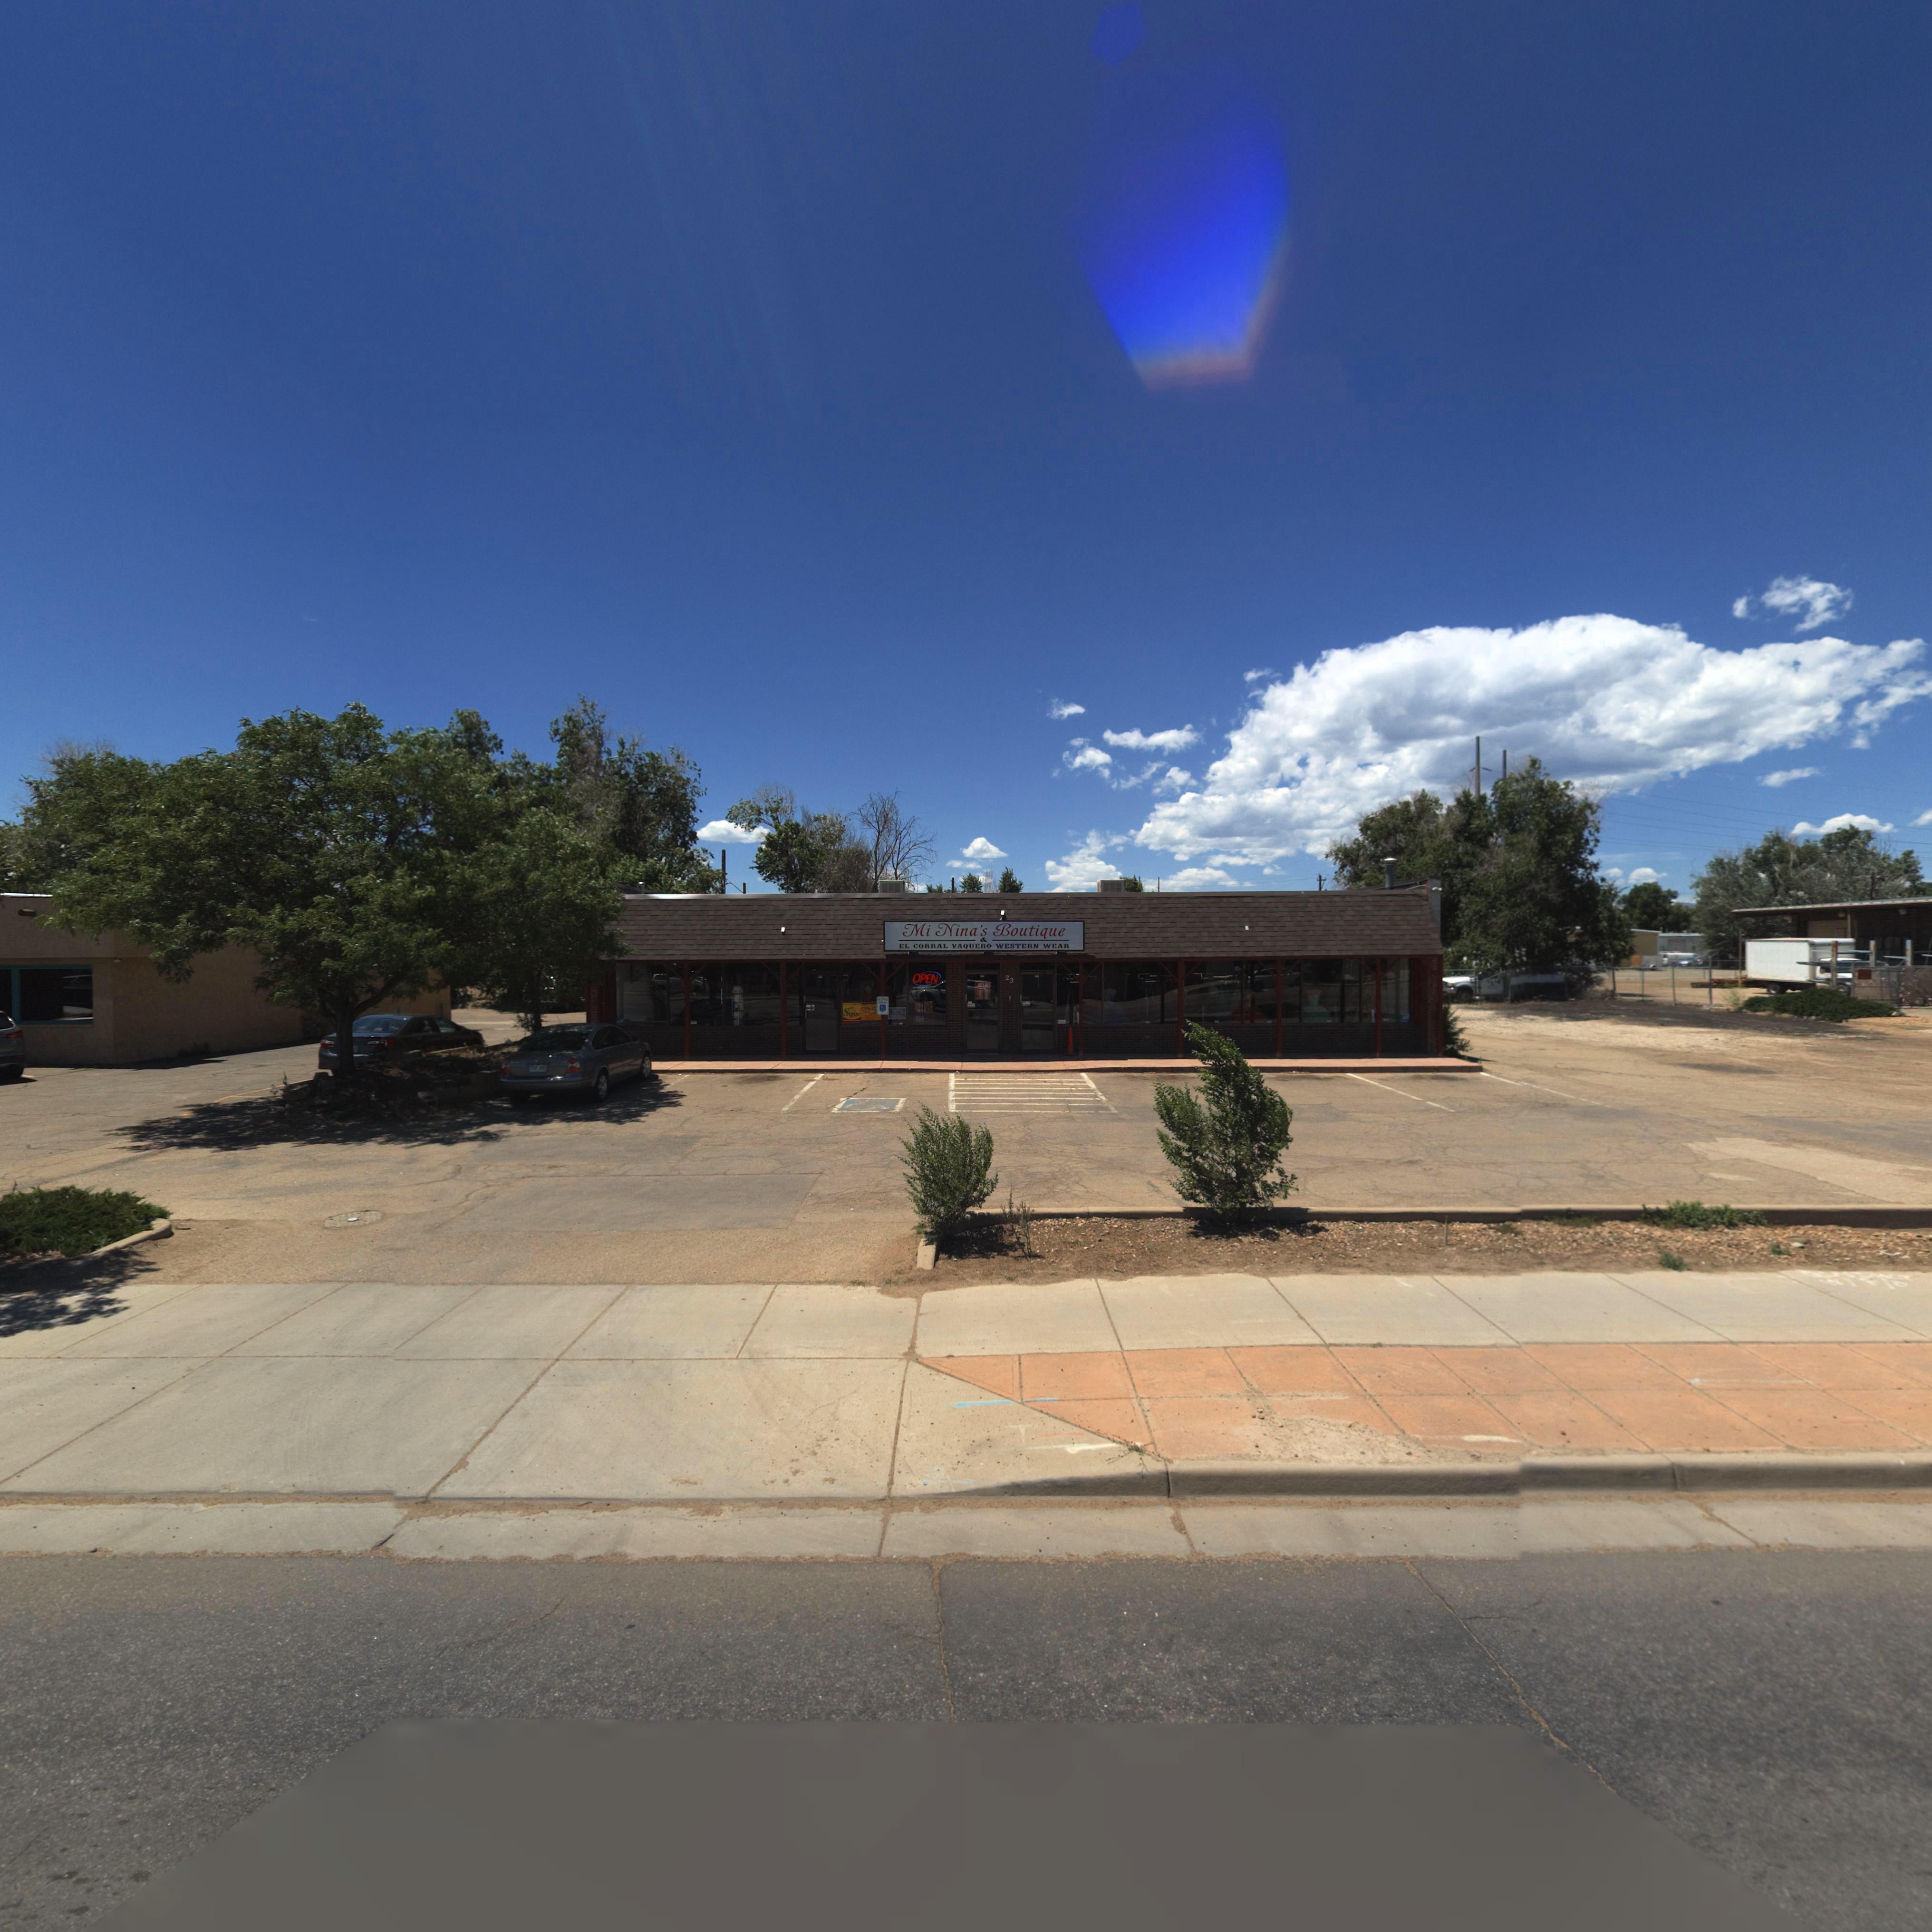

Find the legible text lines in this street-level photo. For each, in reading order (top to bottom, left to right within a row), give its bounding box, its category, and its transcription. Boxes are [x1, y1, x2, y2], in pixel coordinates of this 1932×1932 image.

[901, 923, 1066, 939] BusinessName: Mi Nina's Boutique
[1005, 975, 1014, 984] StreetNumber: 23